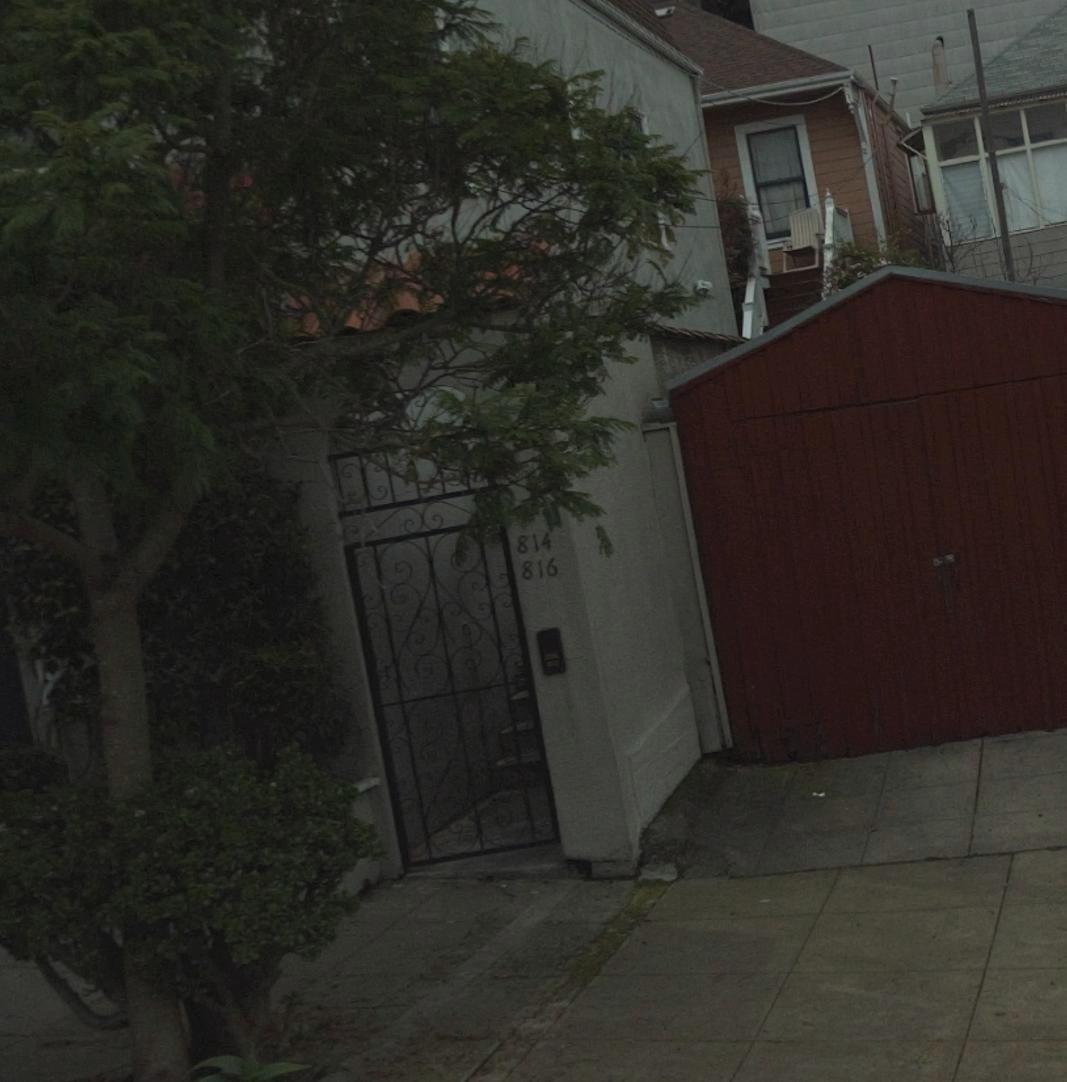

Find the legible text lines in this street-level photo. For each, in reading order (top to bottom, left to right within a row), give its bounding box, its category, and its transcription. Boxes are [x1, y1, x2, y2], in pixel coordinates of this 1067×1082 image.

[514, 530, 554, 557] StreetNumber: 814
[518, 554, 561, 582] StreetNumber: 816